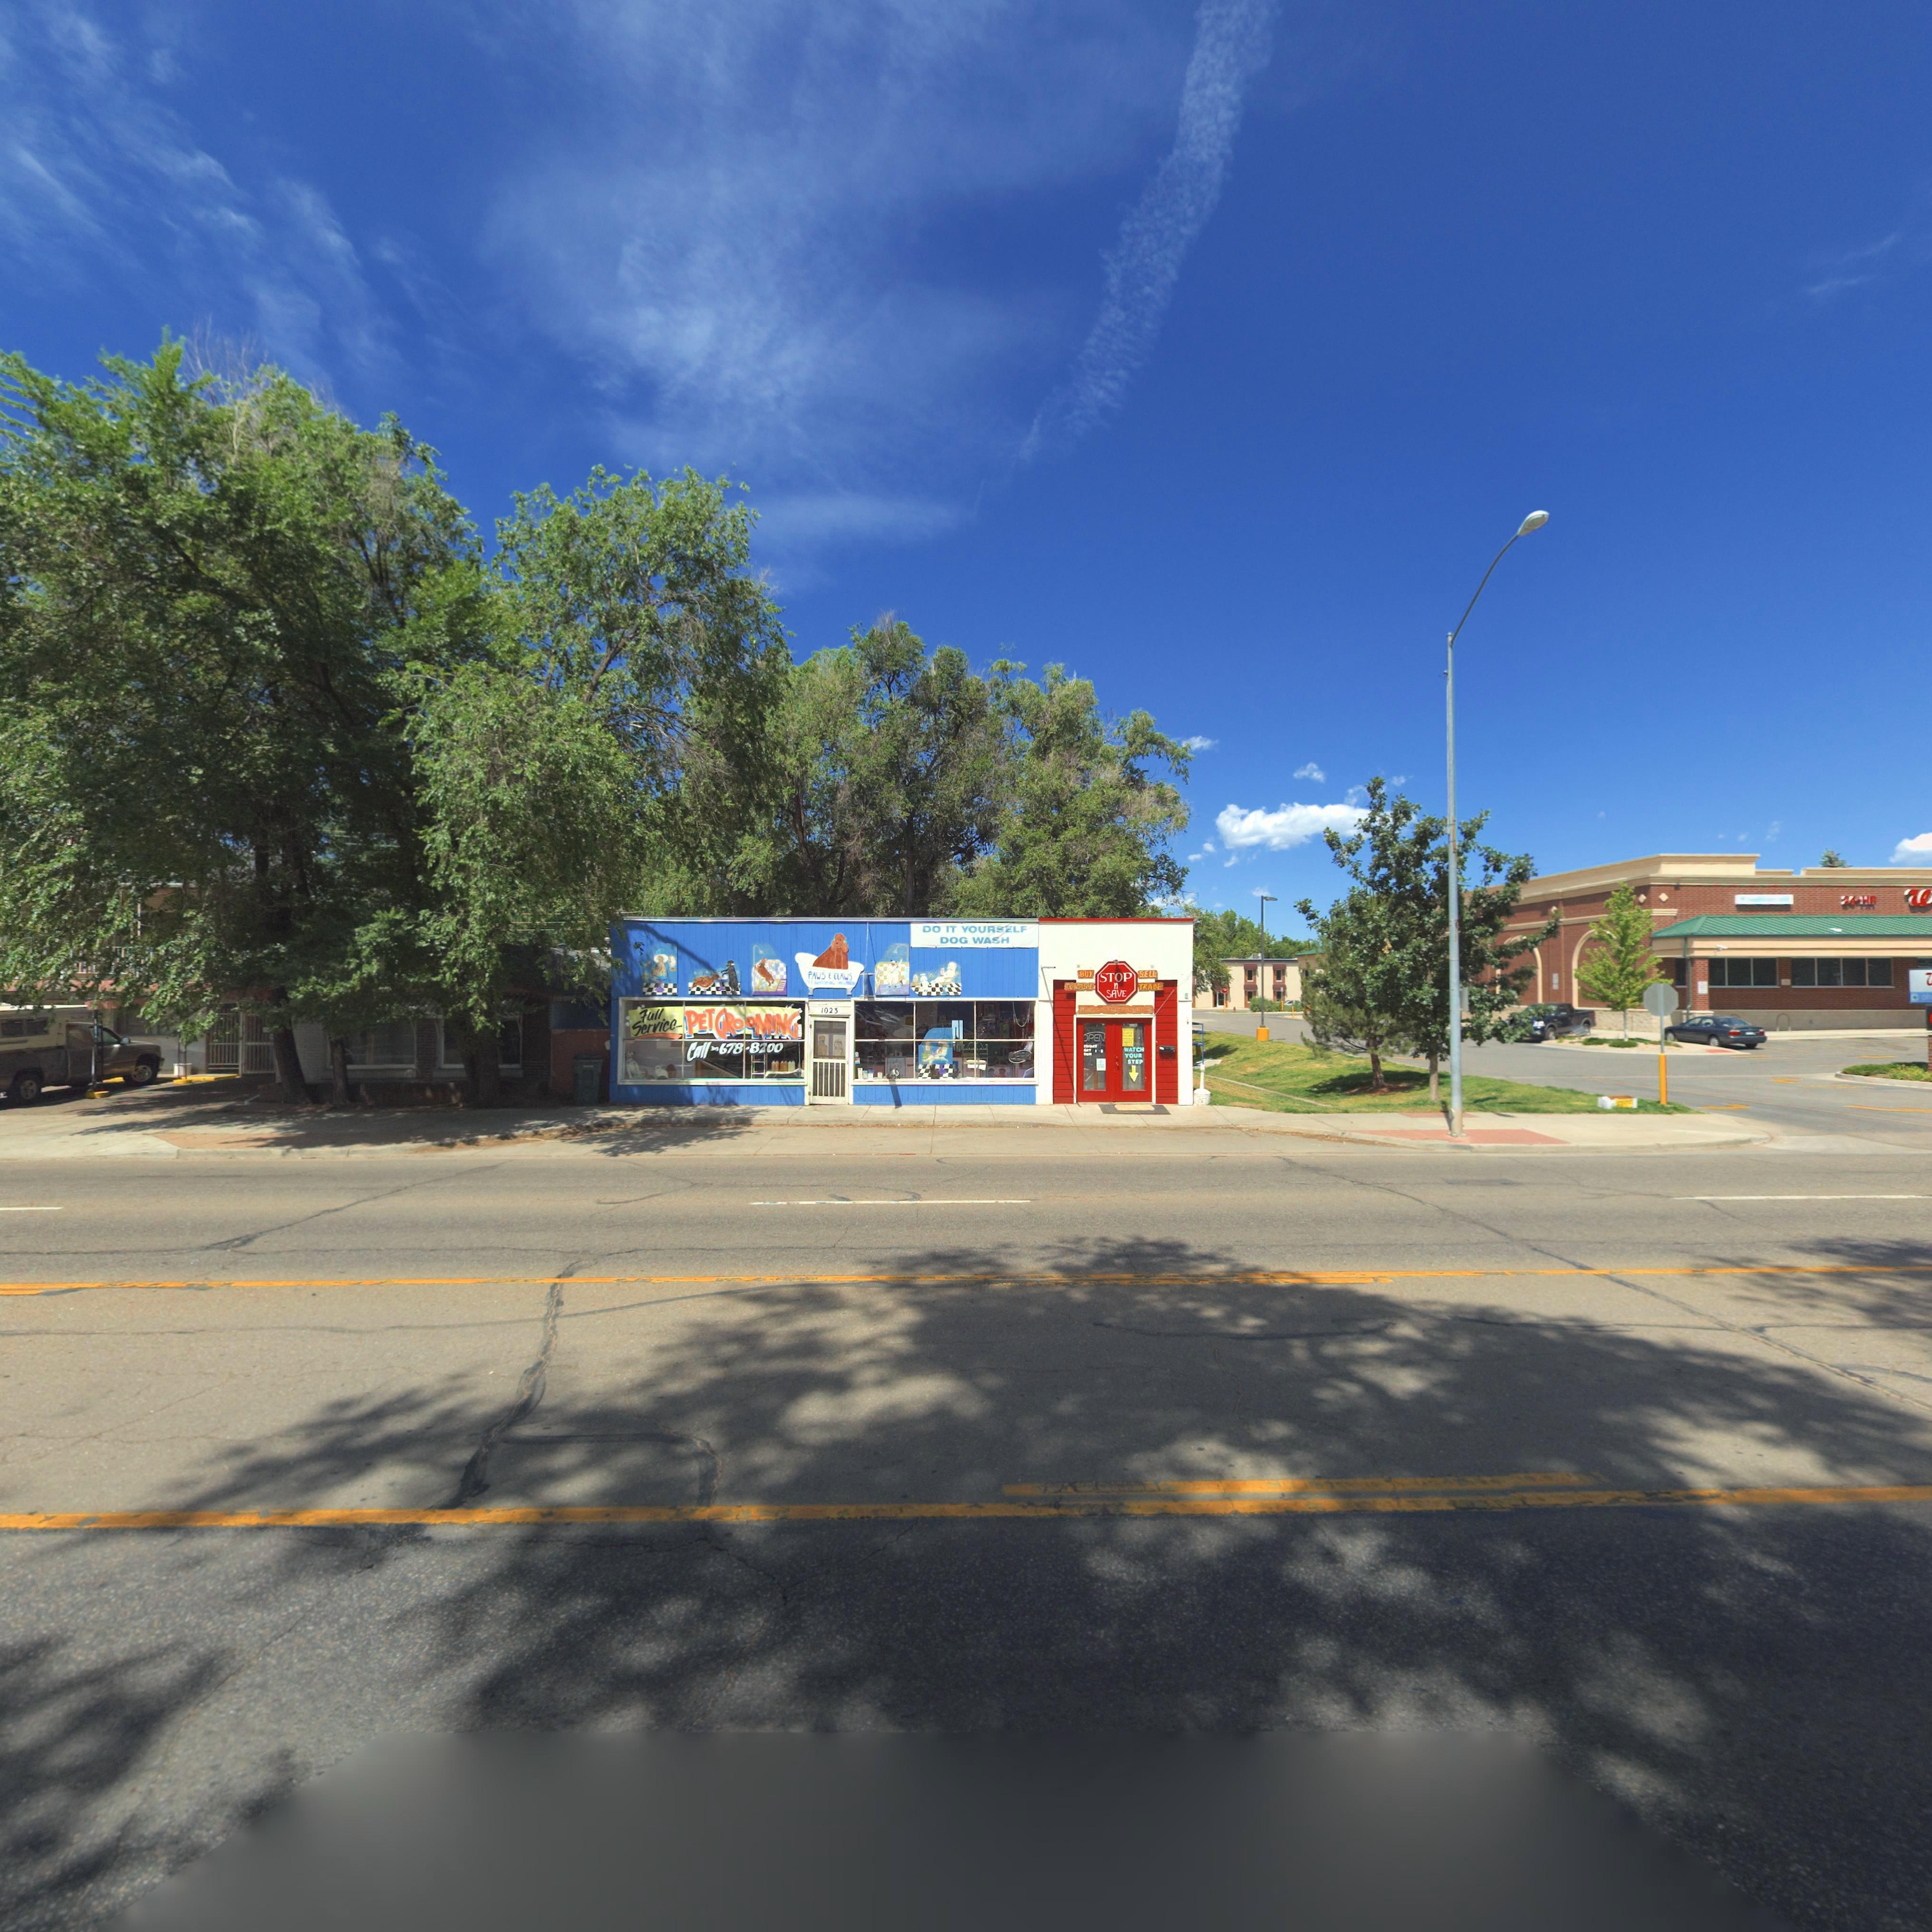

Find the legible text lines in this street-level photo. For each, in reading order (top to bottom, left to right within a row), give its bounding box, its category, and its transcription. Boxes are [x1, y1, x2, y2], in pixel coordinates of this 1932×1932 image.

[808, 971, 852, 980] BusinessName: PAWS & CLAWS
[1099, 972, 1132, 982] BusinessName: STOP
[1113, 982, 1118, 989] BusinessName: n
[1106, 989, 1126, 998] BusinessName: SAVE
[820, 1007, 838, 1014] StreetNumber: 1023